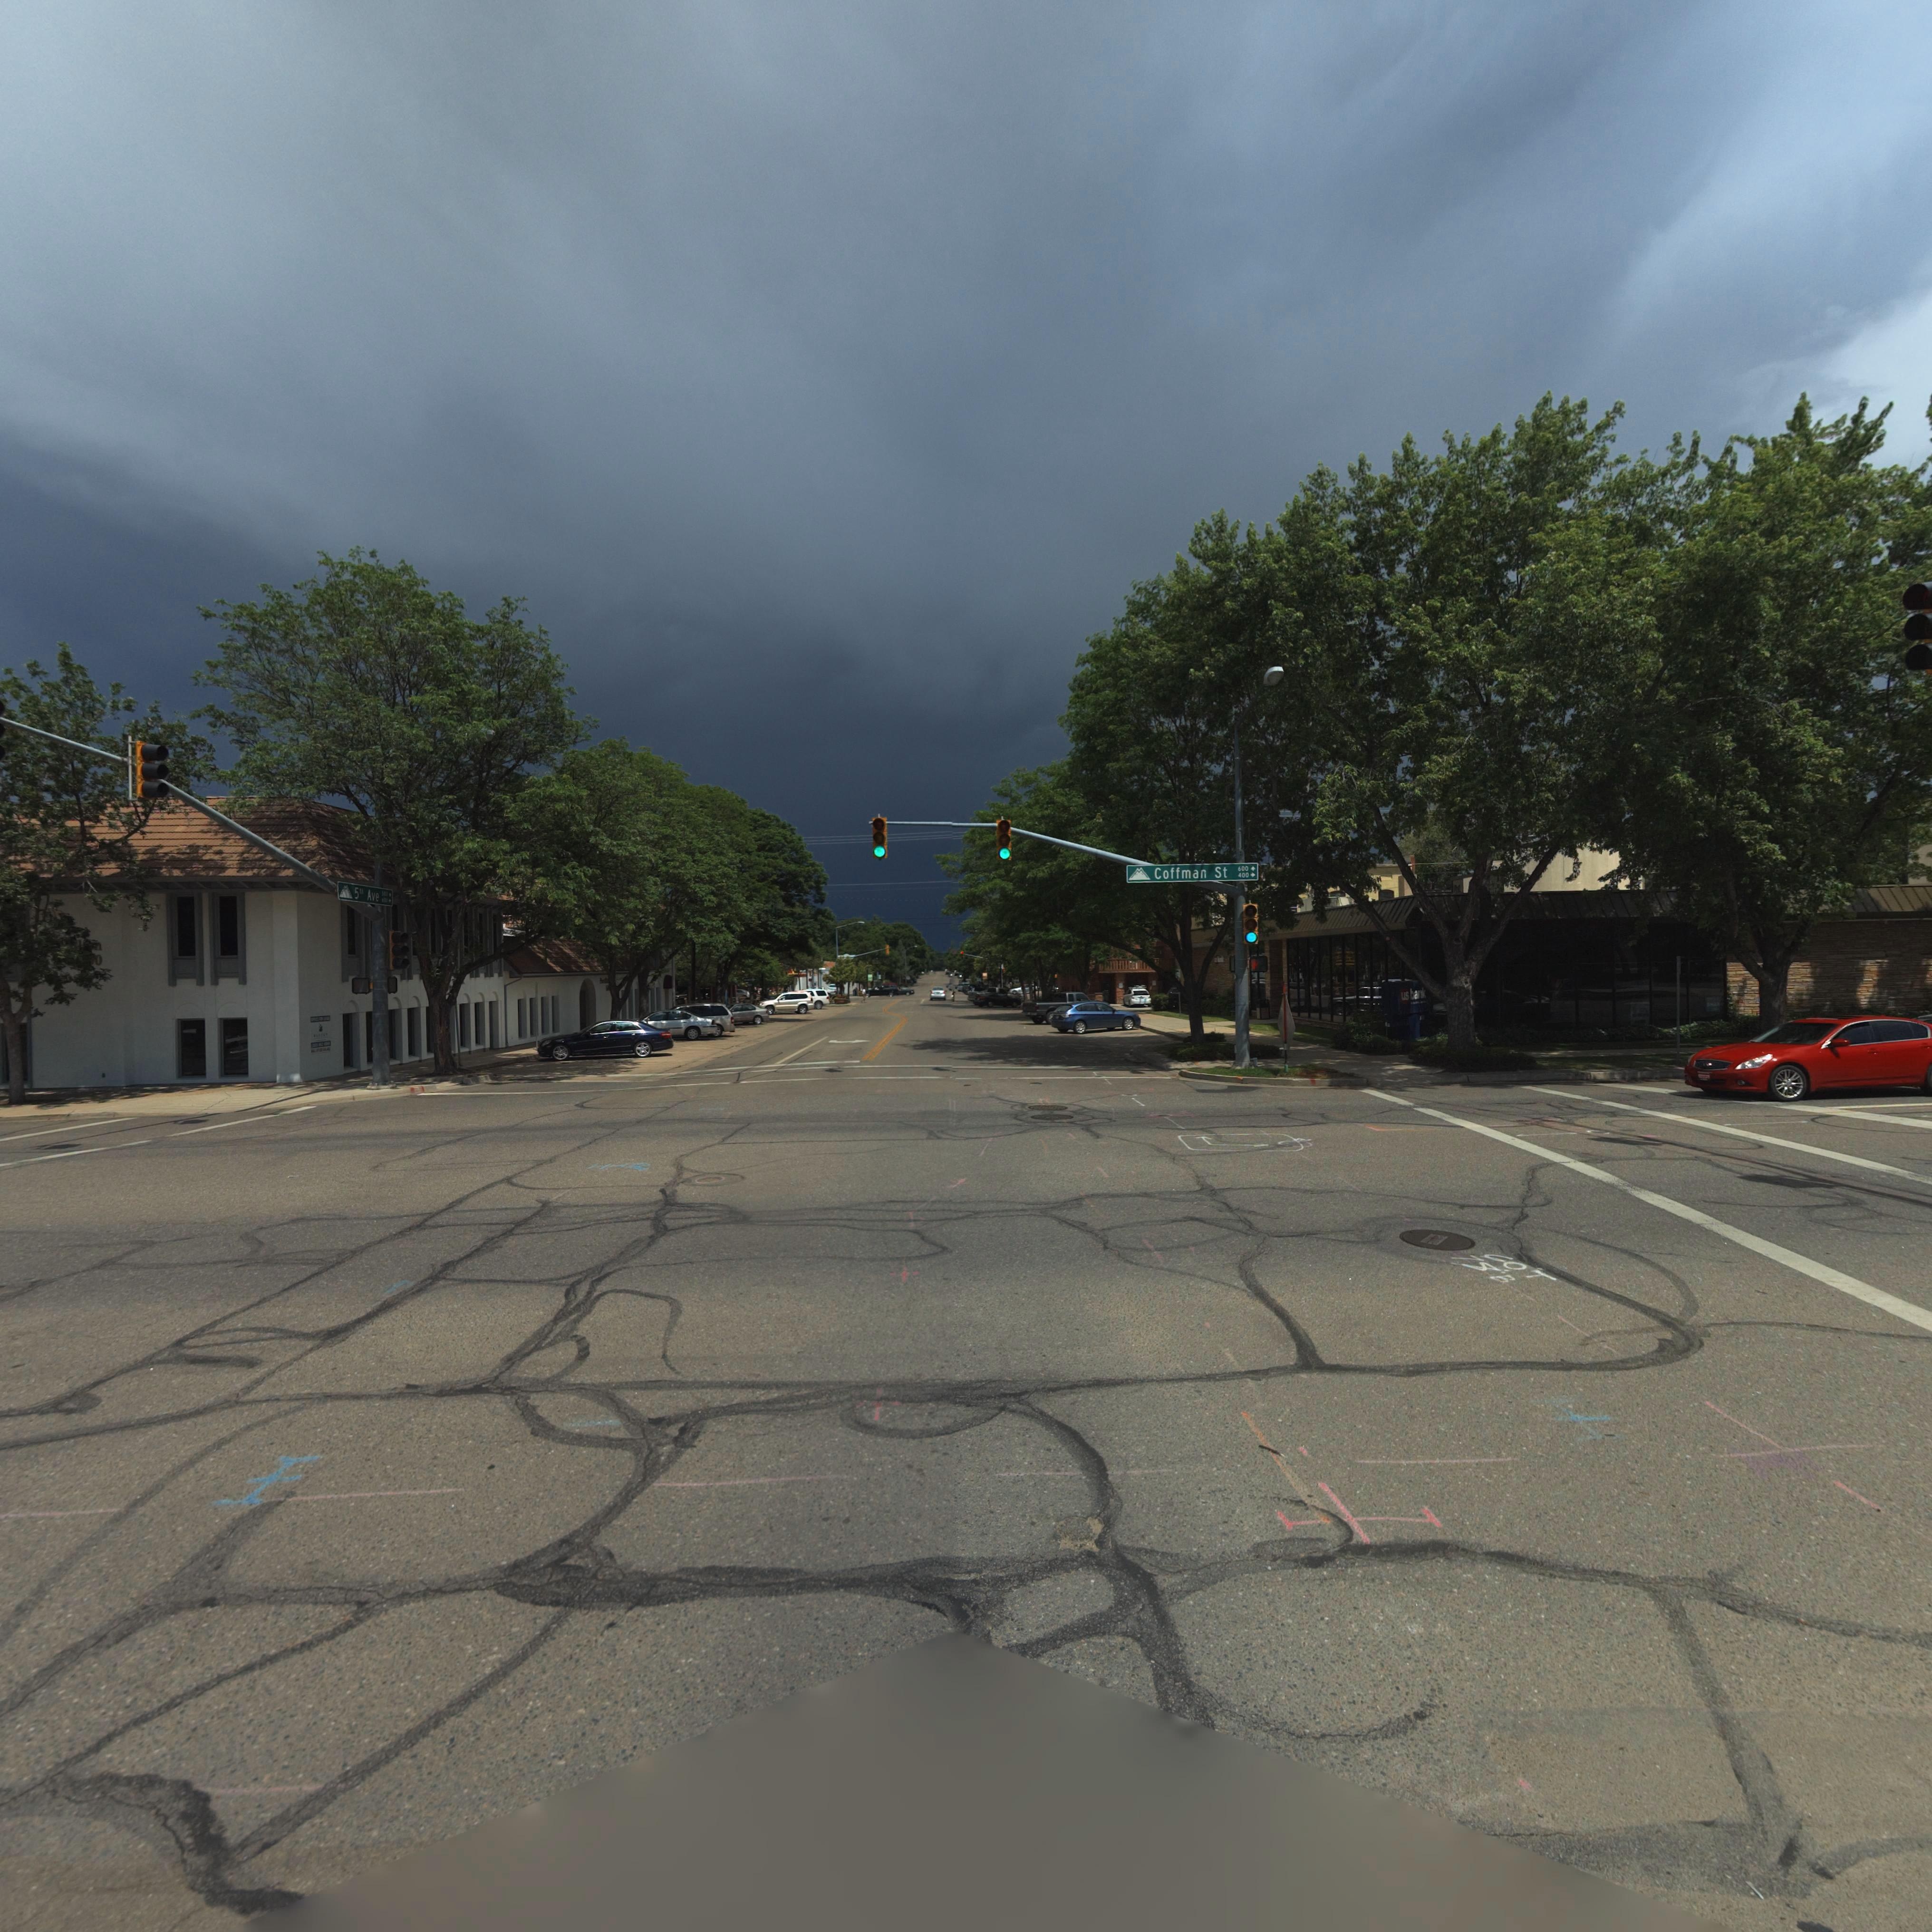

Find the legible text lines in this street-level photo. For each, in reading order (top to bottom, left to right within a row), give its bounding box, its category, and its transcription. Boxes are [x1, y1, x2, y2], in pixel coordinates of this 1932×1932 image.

[1237, 866, 1248, 871] StreetNumberRange: 600
[1154, 866, 1227, 879] StreetName: Coffman St
[1237, 872, 1256, 878] StreetNumberRange: 400->
[354, 887, 379, 901] StreetName: 5th Ave
[381, 890, 388, 897] StreetNumberRange: 500
[381, 898, 391, 903] StreetNumberRange: 600->
[1401, 986, 1426, 1000] BusinessName: usbank